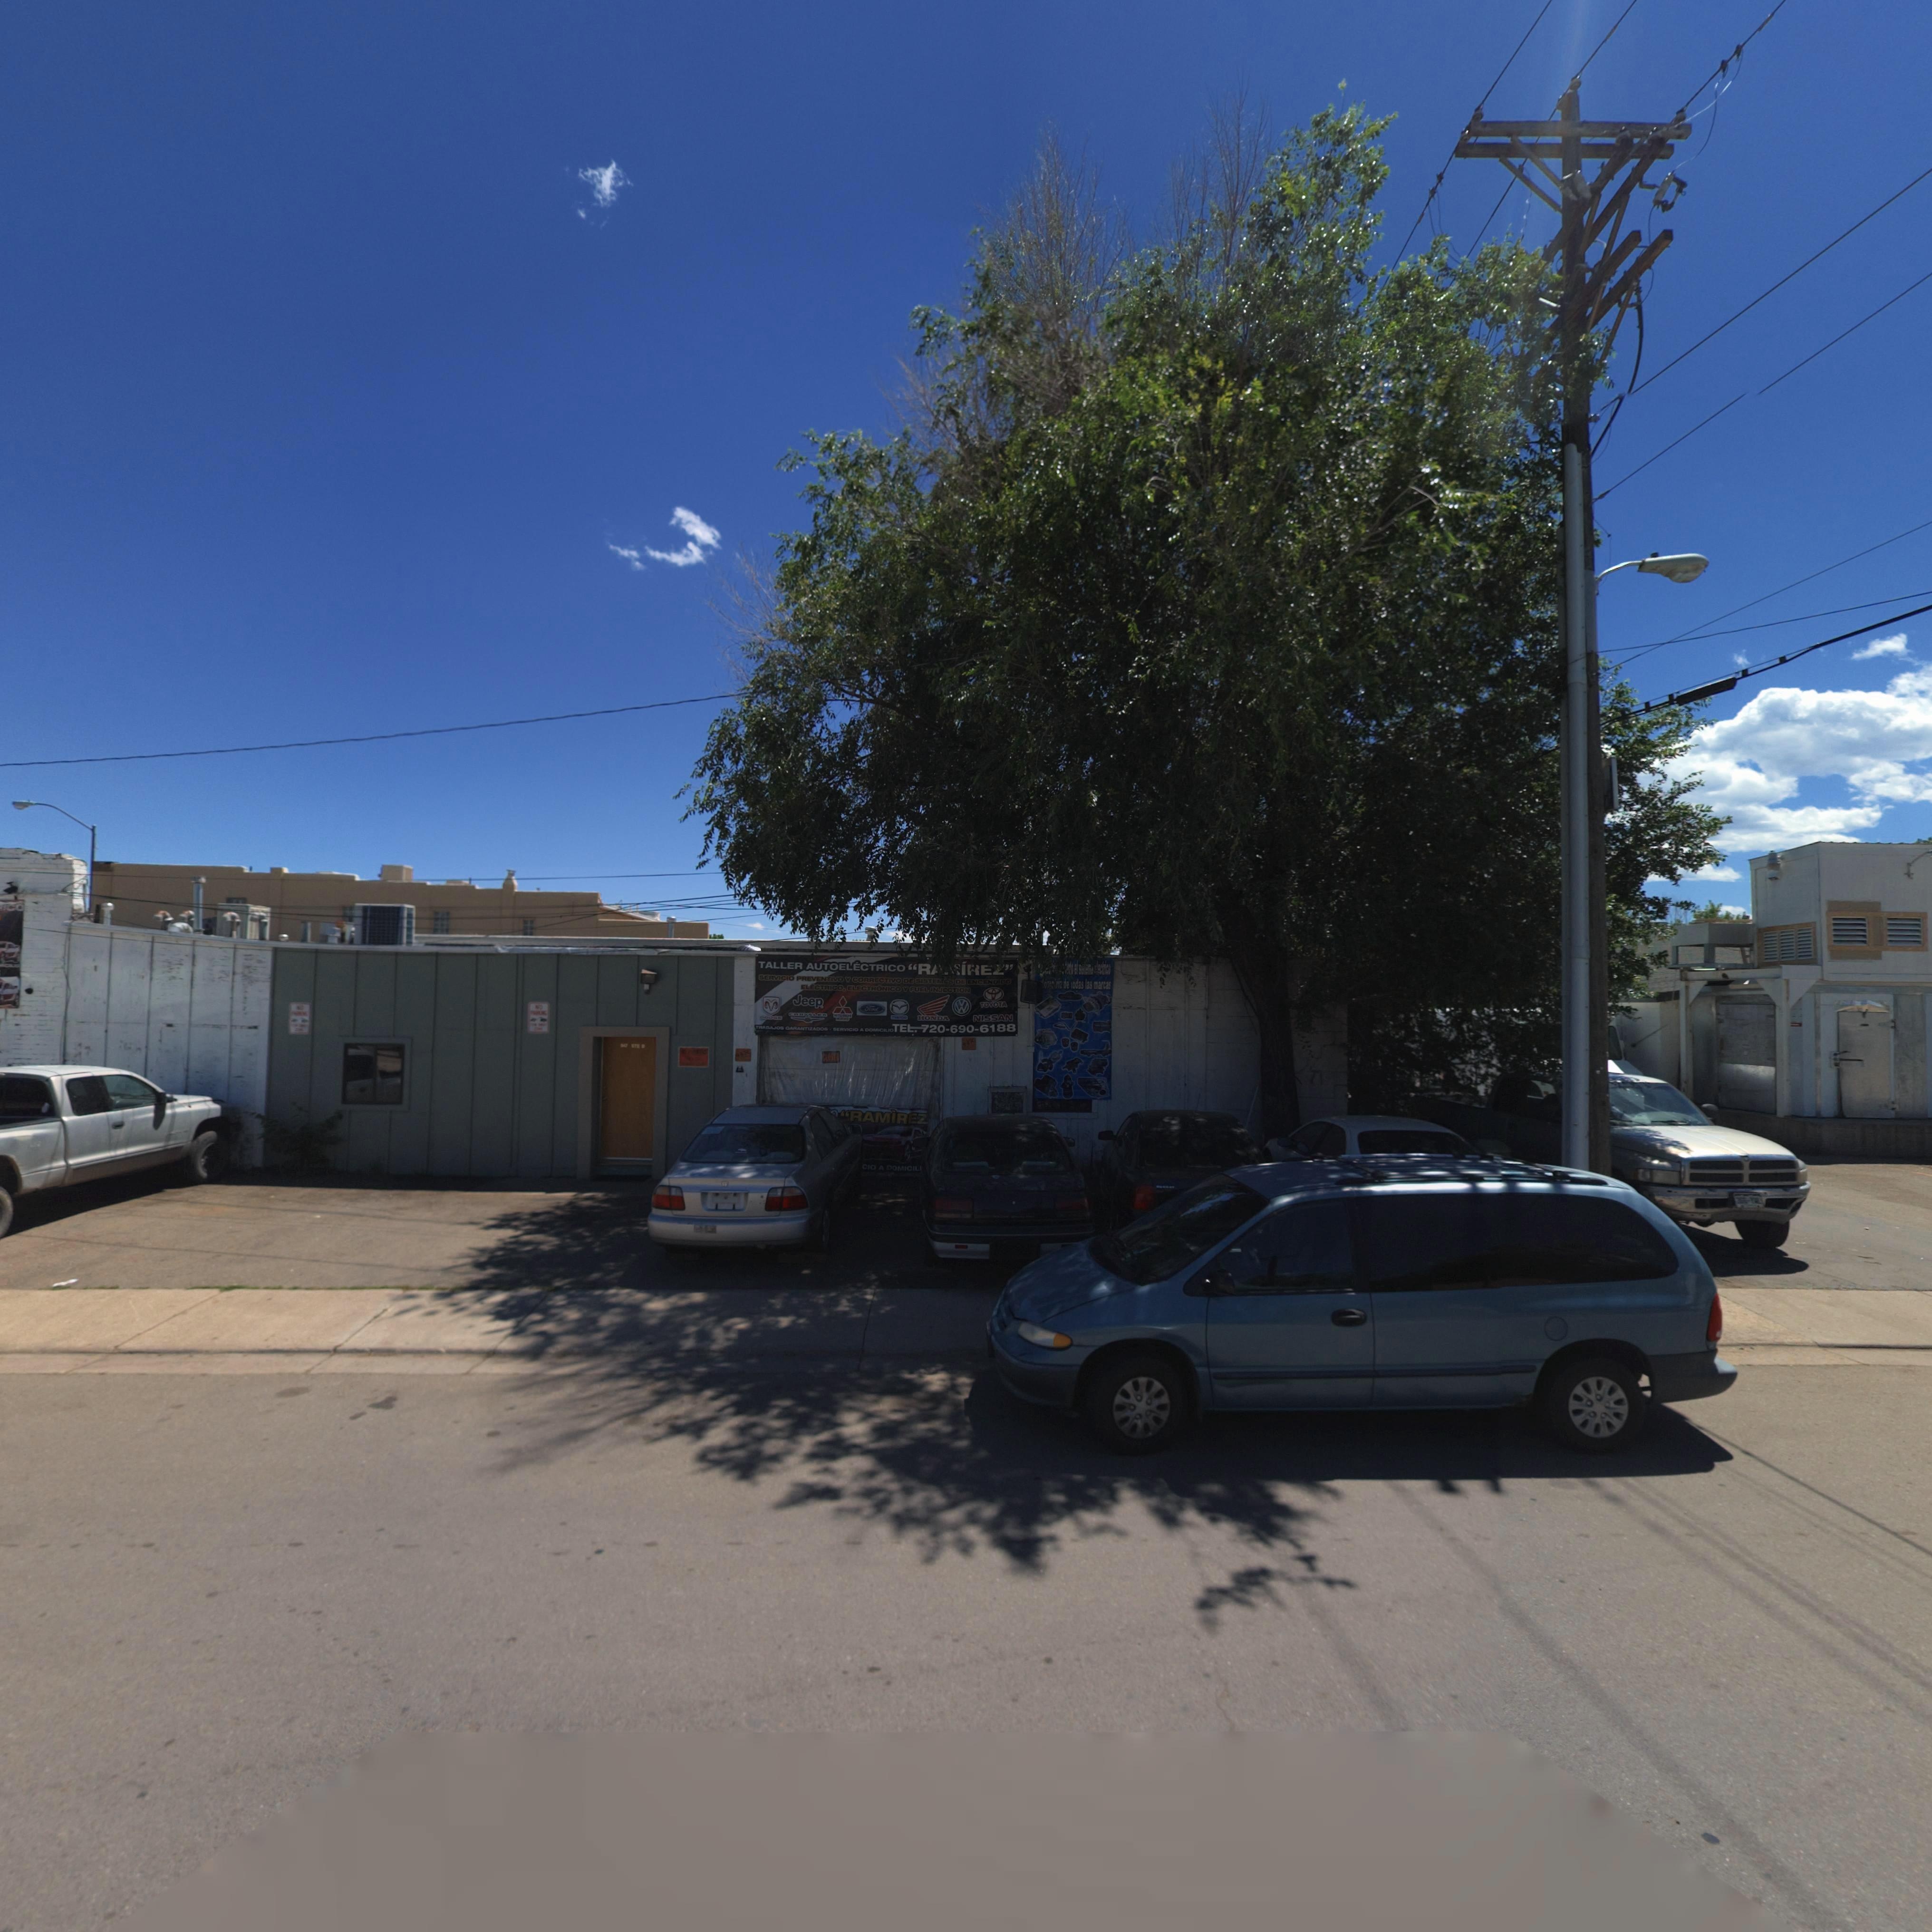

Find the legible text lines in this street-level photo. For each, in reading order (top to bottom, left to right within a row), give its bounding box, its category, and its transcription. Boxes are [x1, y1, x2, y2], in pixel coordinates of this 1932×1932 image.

[630, 1043, 645, 1048] SecondaryUnitDesignator: STE B